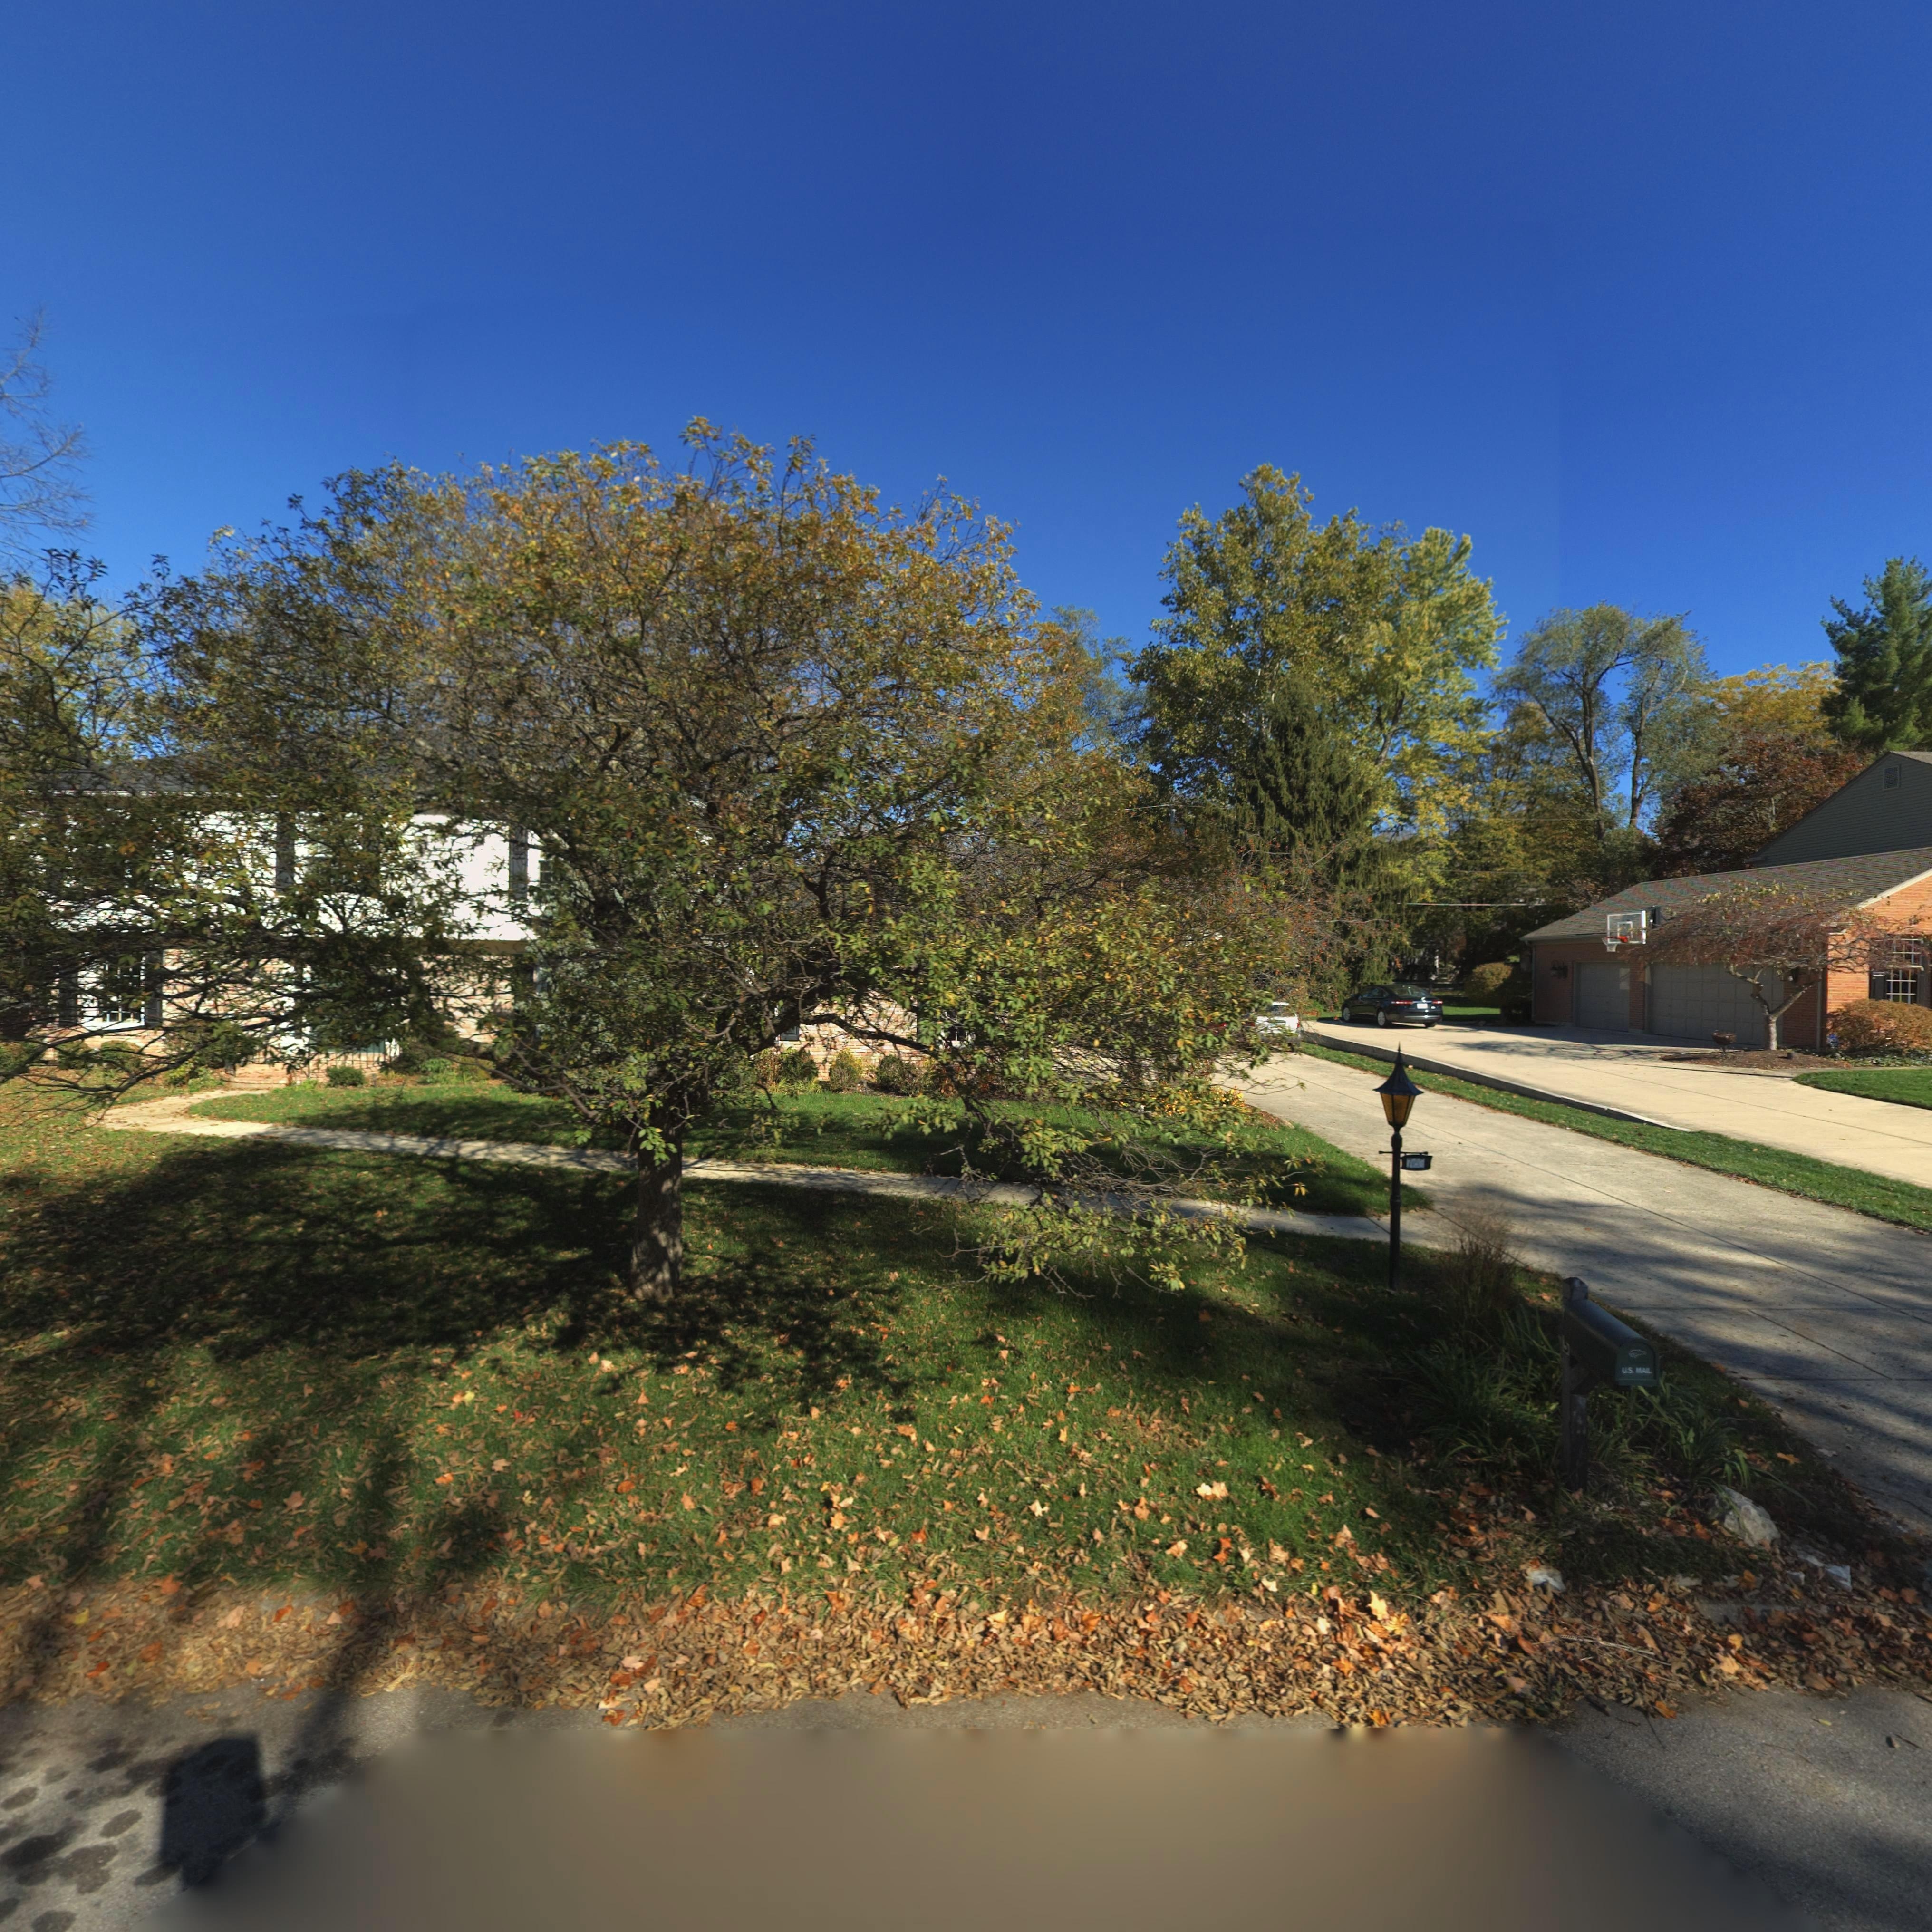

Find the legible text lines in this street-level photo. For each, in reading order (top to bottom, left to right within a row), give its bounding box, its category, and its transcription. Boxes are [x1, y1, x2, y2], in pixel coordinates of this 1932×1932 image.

[1407, 1158, 1425, 1168] StreetNumber: 745